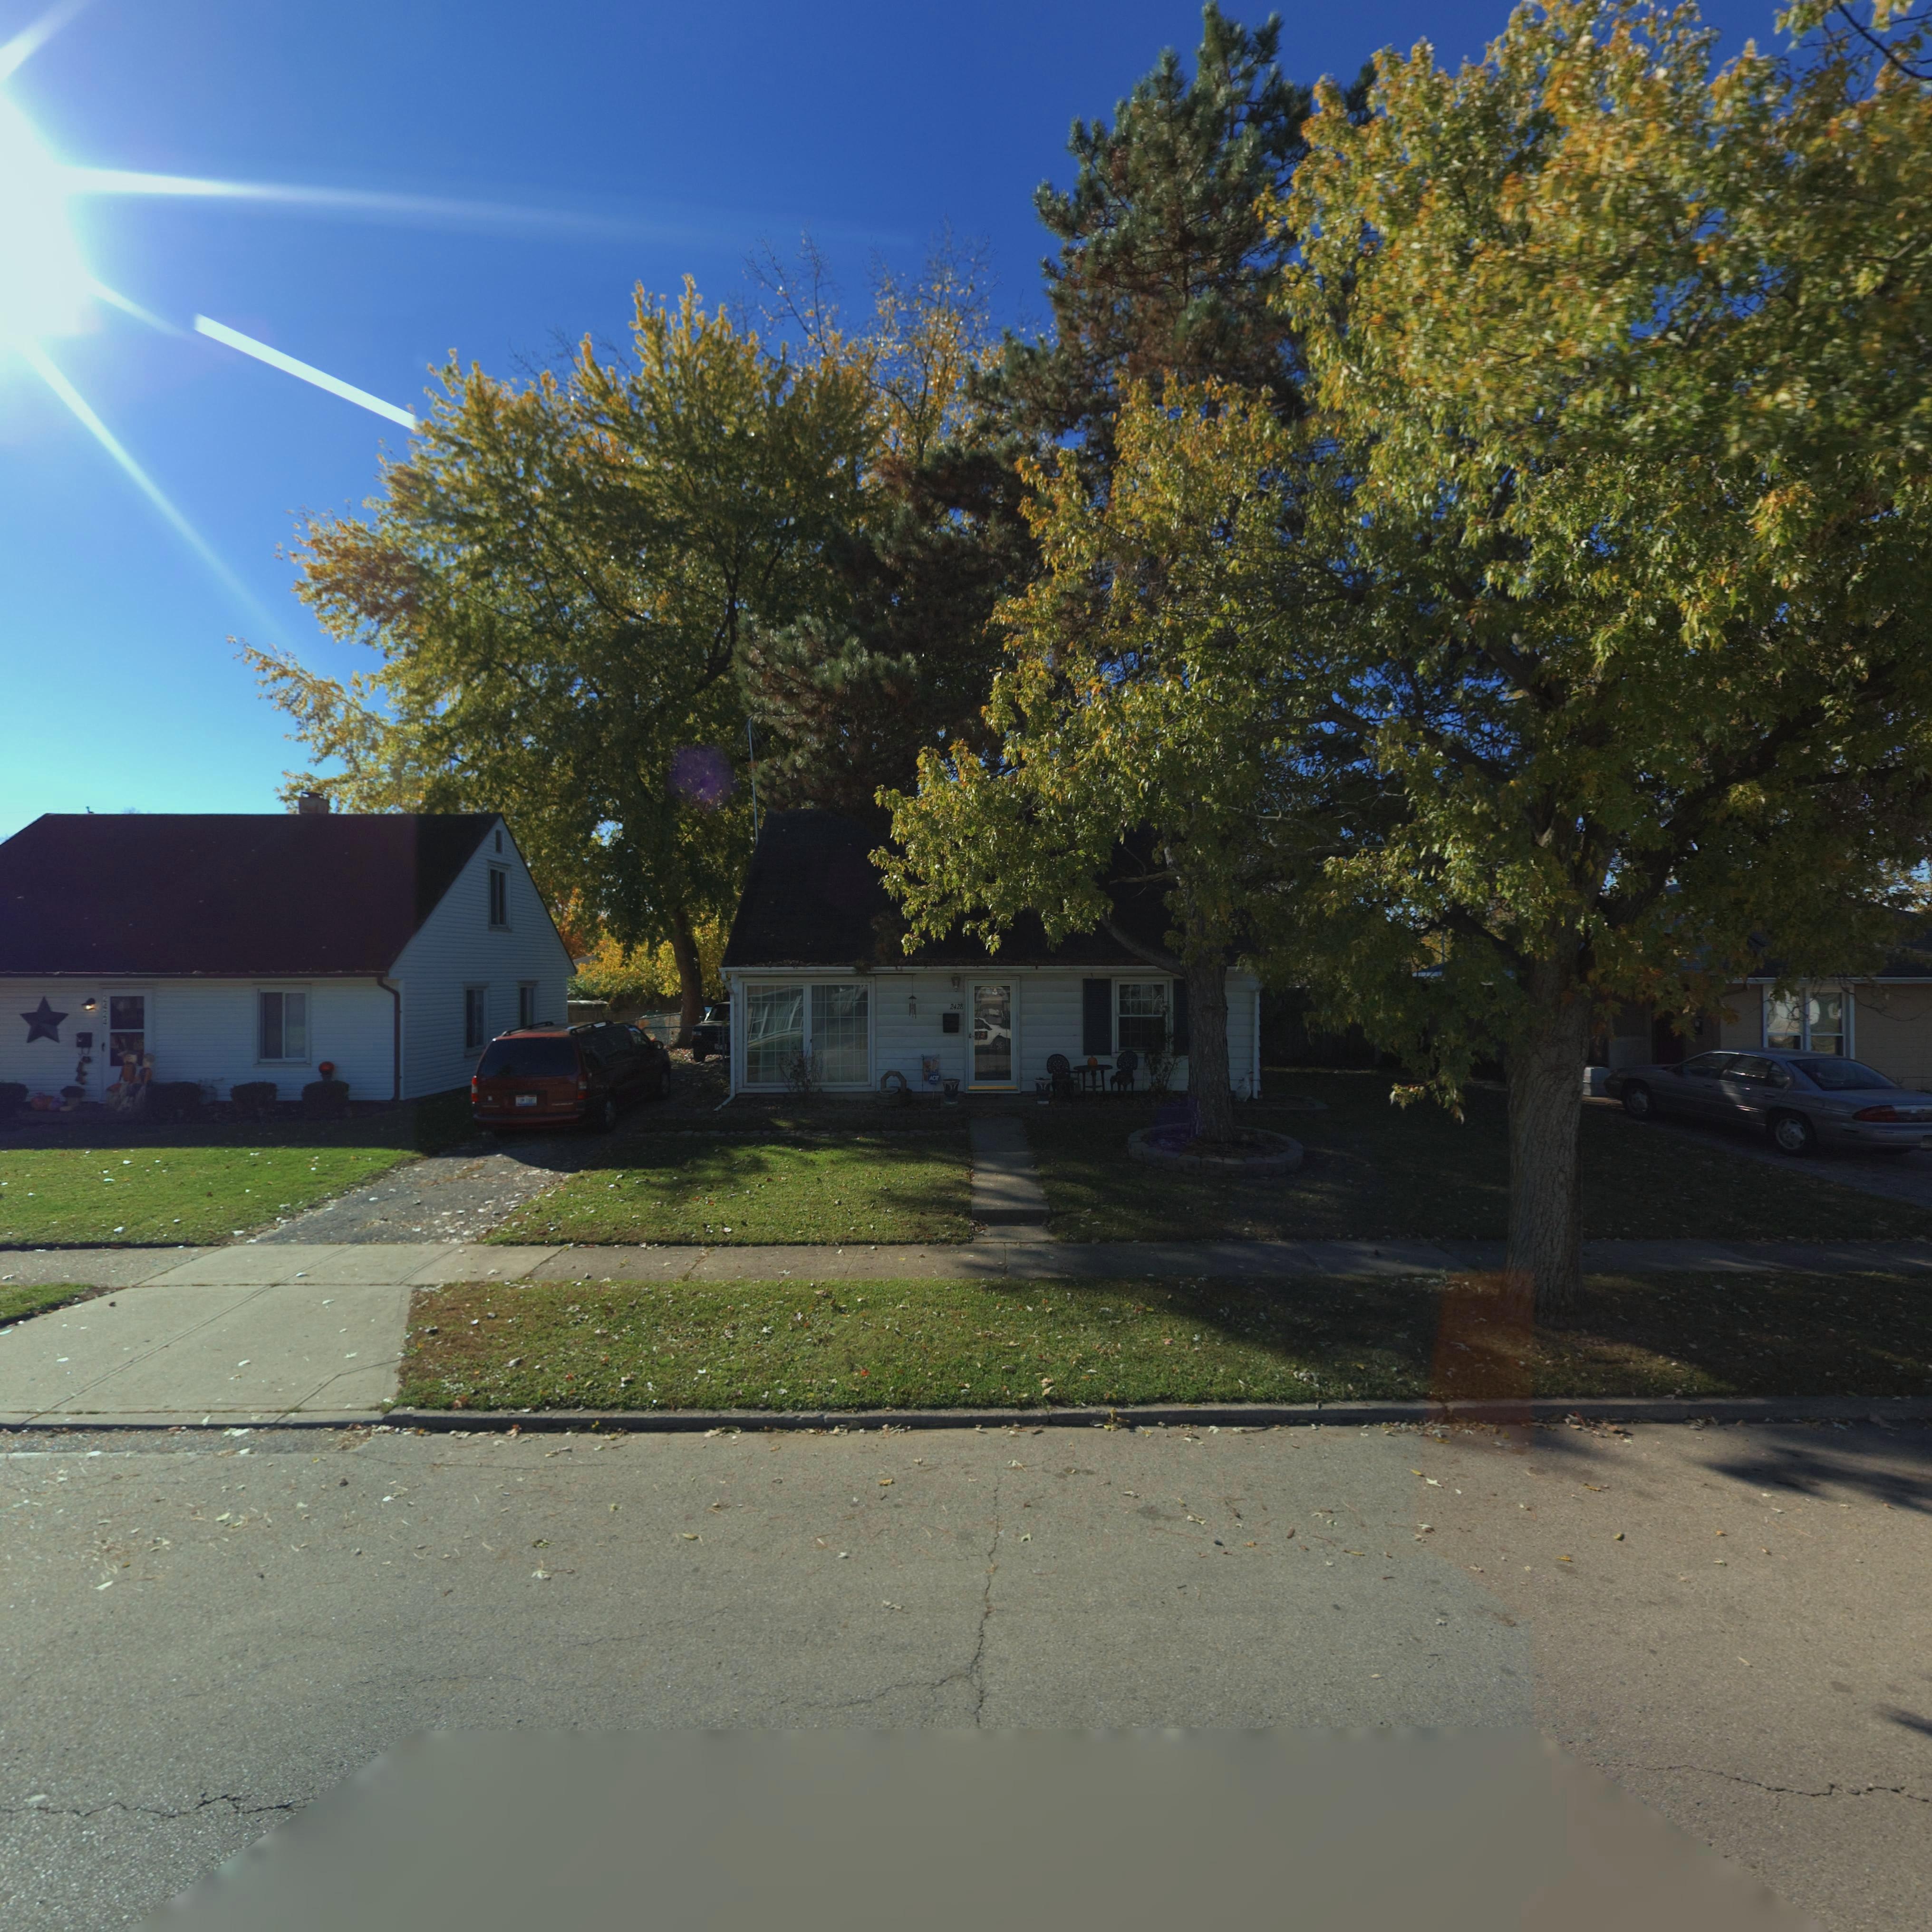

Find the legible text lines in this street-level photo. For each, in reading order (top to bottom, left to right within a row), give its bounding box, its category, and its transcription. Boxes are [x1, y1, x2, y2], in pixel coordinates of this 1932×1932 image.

[102, 993, 107, 1025] StreetNumber: 2424
[949, 1003, 964, 1010] StreetNumber: 2428